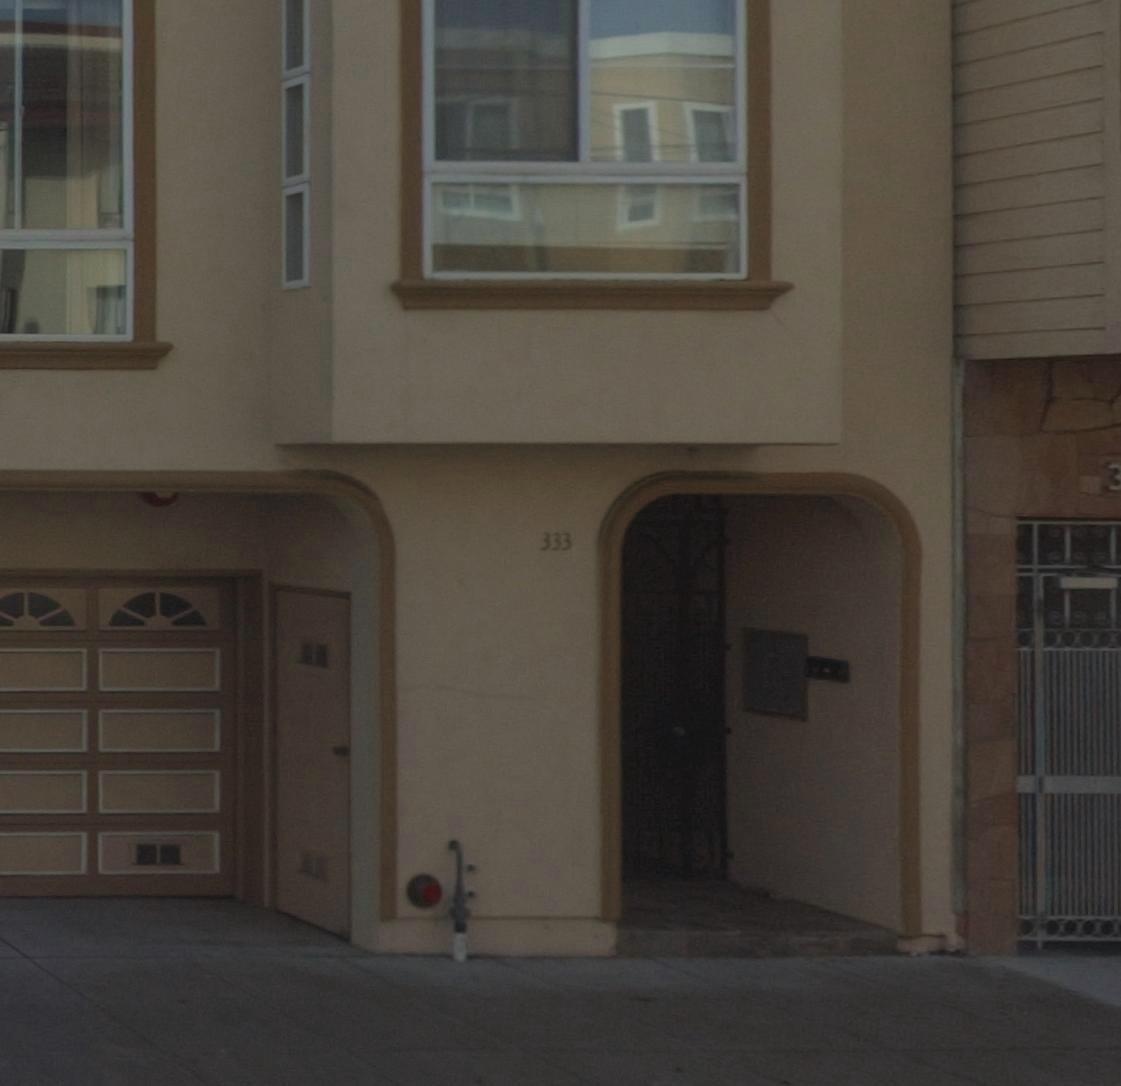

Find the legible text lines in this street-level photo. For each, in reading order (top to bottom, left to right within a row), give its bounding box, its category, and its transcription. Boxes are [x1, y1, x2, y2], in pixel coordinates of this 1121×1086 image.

[538, 530, 574, 552] StreetNumber: 333